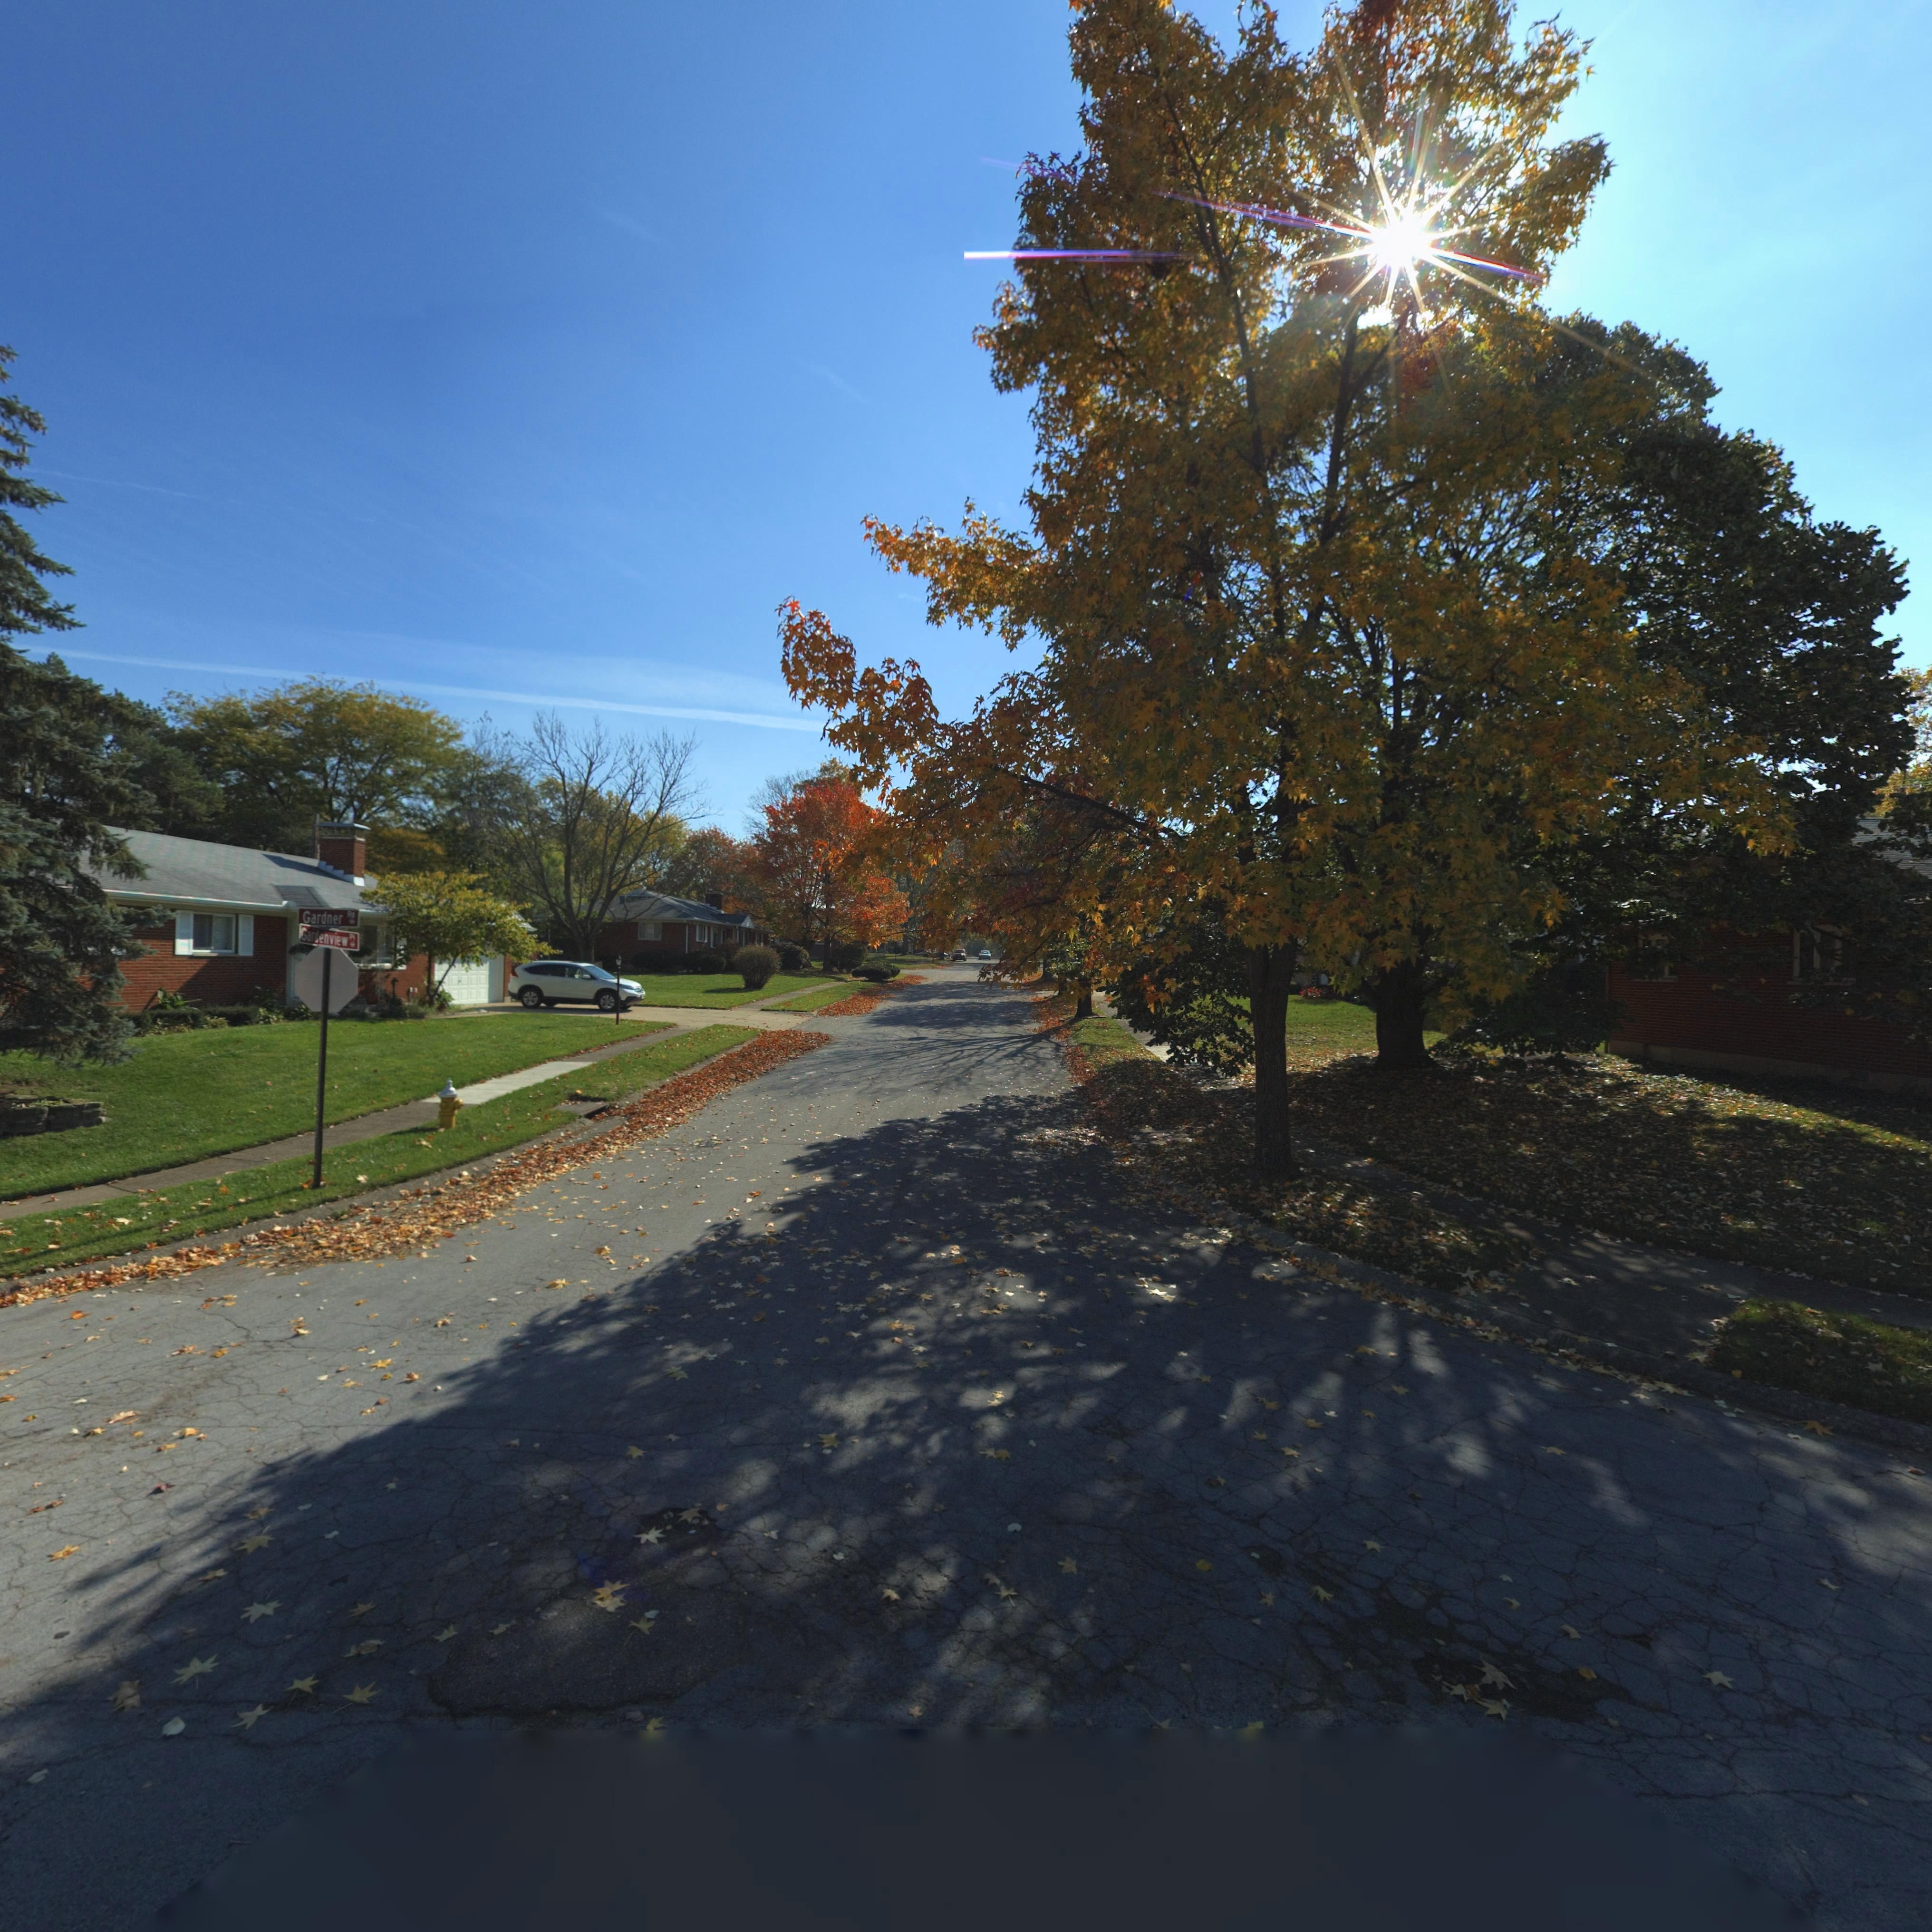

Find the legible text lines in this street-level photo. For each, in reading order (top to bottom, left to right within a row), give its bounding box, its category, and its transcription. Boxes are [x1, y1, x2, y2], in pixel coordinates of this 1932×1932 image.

[302, 910, 356, 925] StreetName: Gardner Rd
[300, 926, 356, 947] StreetName: Gardenview Pl